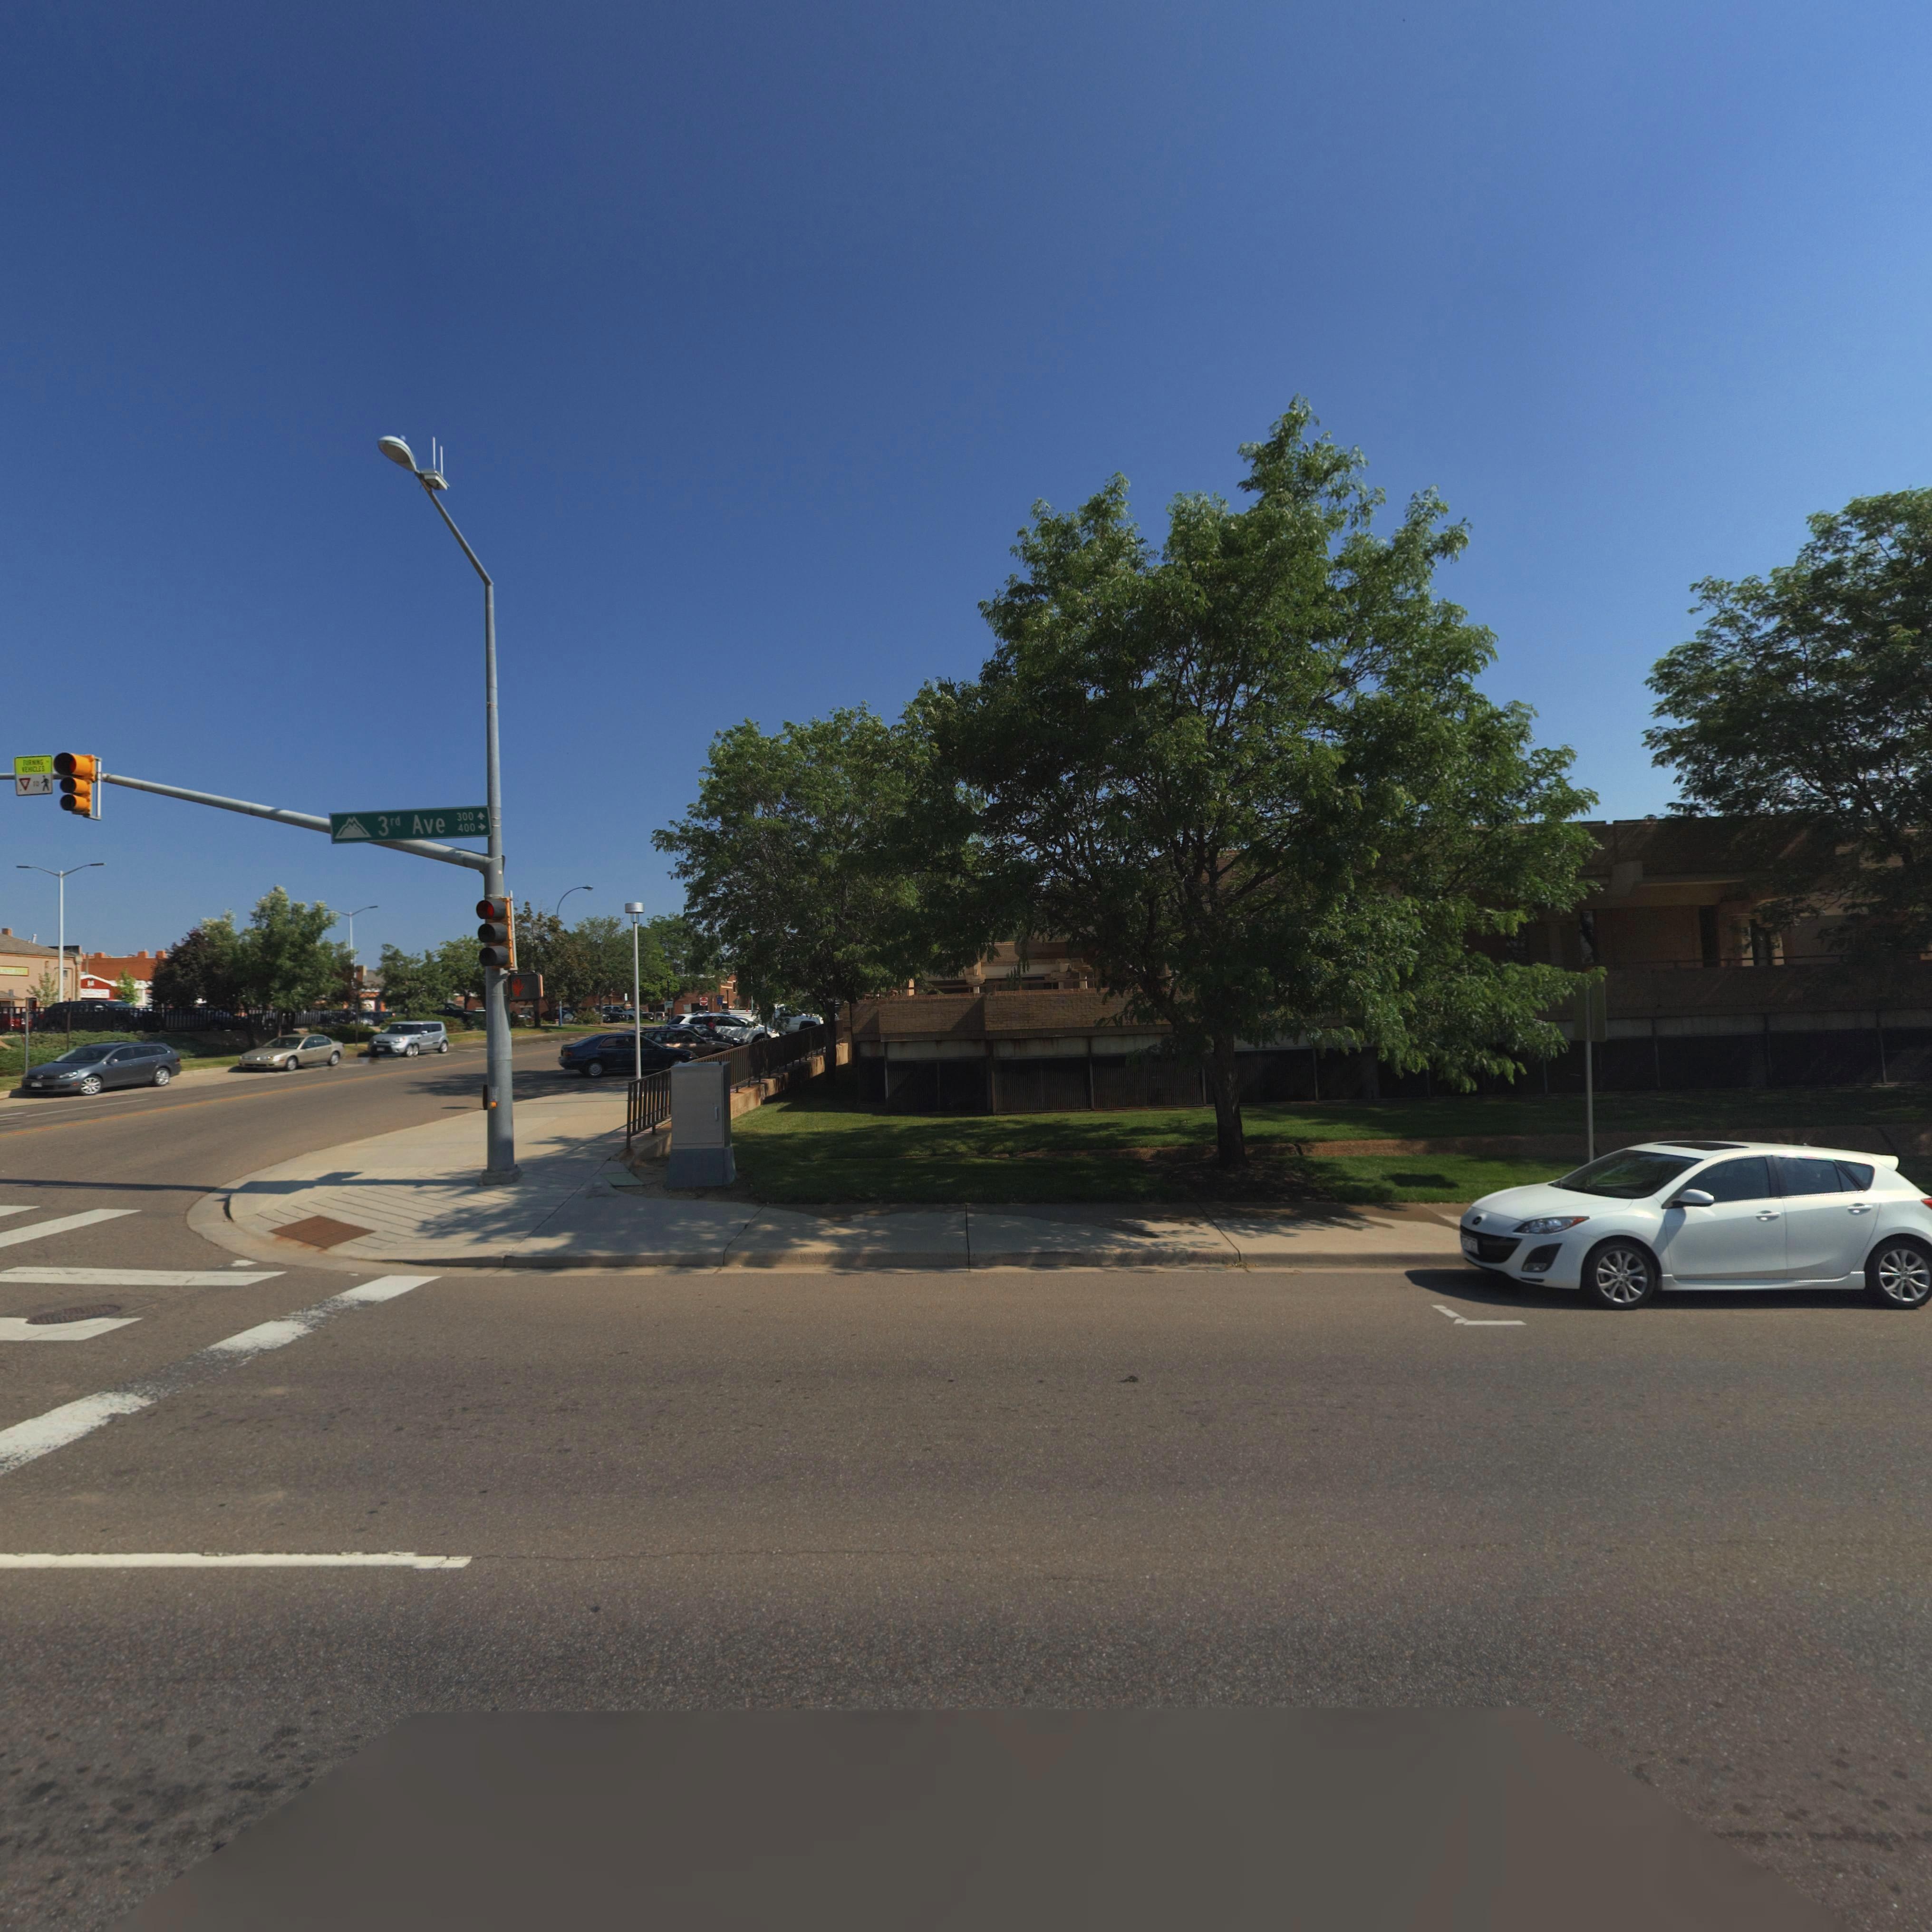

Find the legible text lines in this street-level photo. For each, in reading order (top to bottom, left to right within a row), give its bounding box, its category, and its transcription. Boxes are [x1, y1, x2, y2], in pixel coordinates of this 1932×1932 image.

[456, 811, 474, 821] StreetNumberRange: 300
[377, 814, 445, 836] StreetName: 3rd Ave
[457, 822, 486, 832] StreetNumberRange: 400 ->